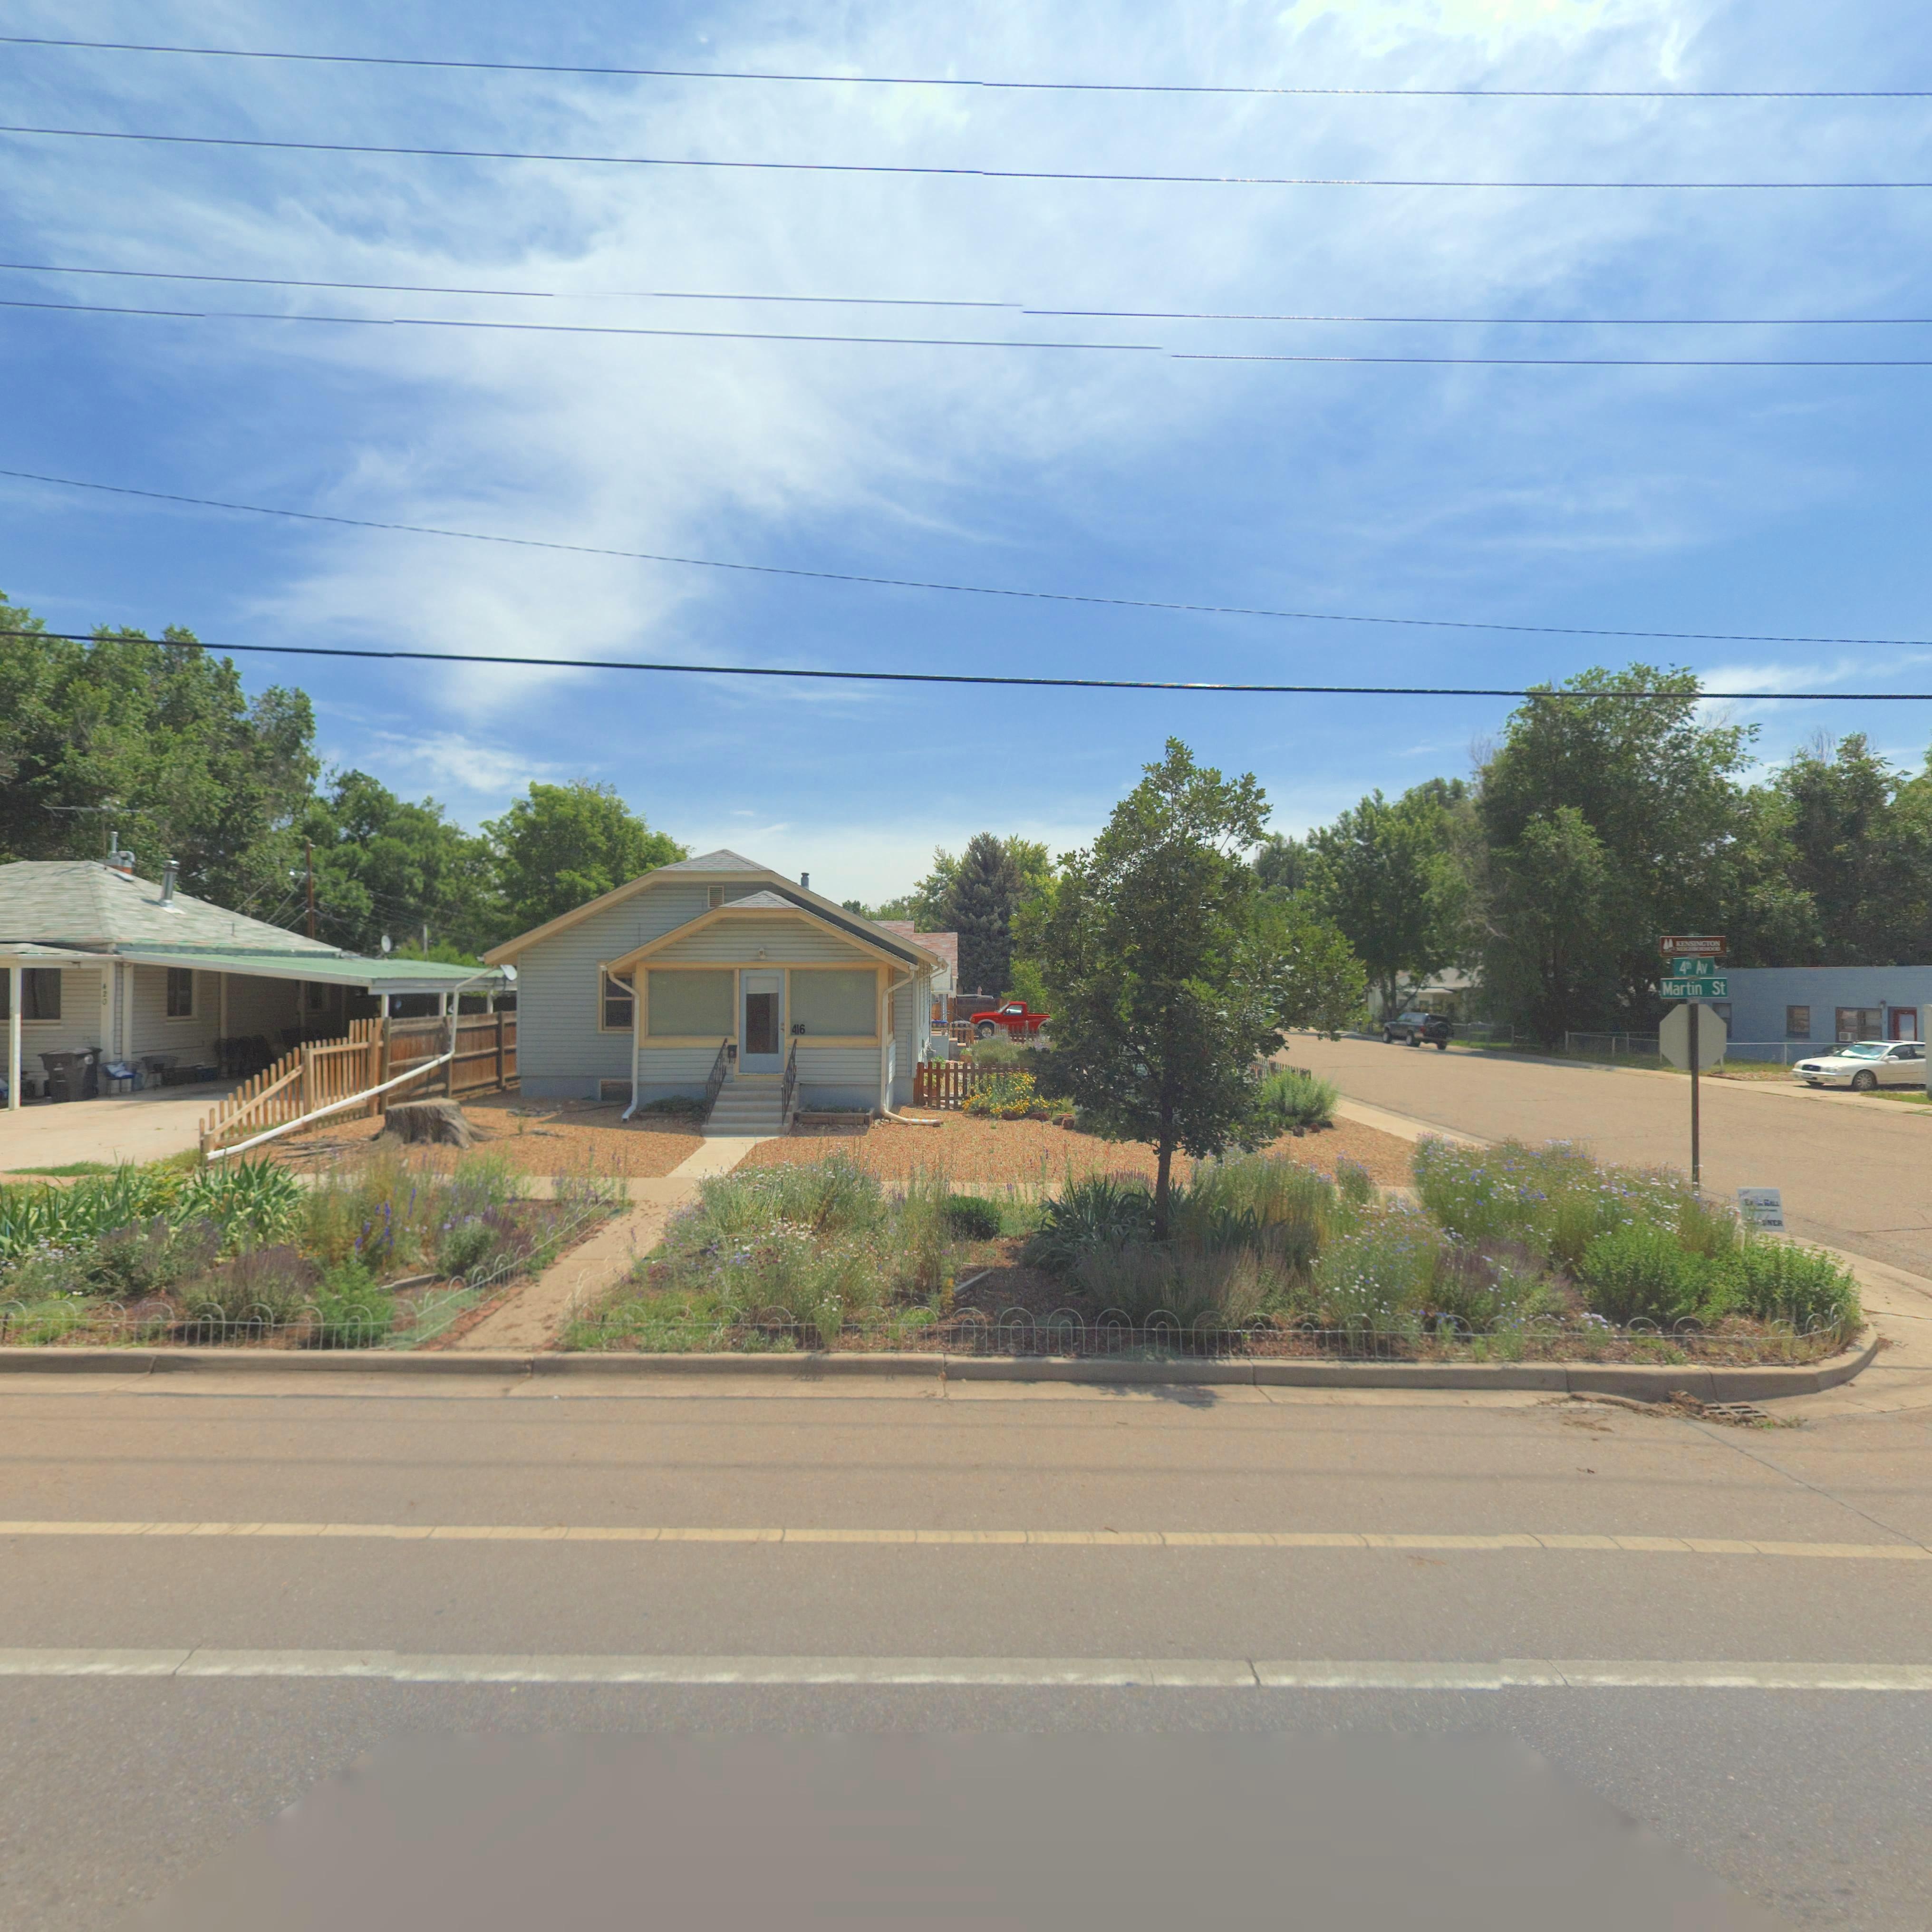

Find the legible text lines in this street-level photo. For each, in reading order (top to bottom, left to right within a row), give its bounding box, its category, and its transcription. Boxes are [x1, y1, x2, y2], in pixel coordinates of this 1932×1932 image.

[1679, 960, 1708, 975] StreetName: 4th Av
[101, 983, 107, 1005] StreetNumber: 420
[1662, 980, 1726, 995] StreetName: Martin St
[791, 1024, 805, 1035] StreetNumber: 416